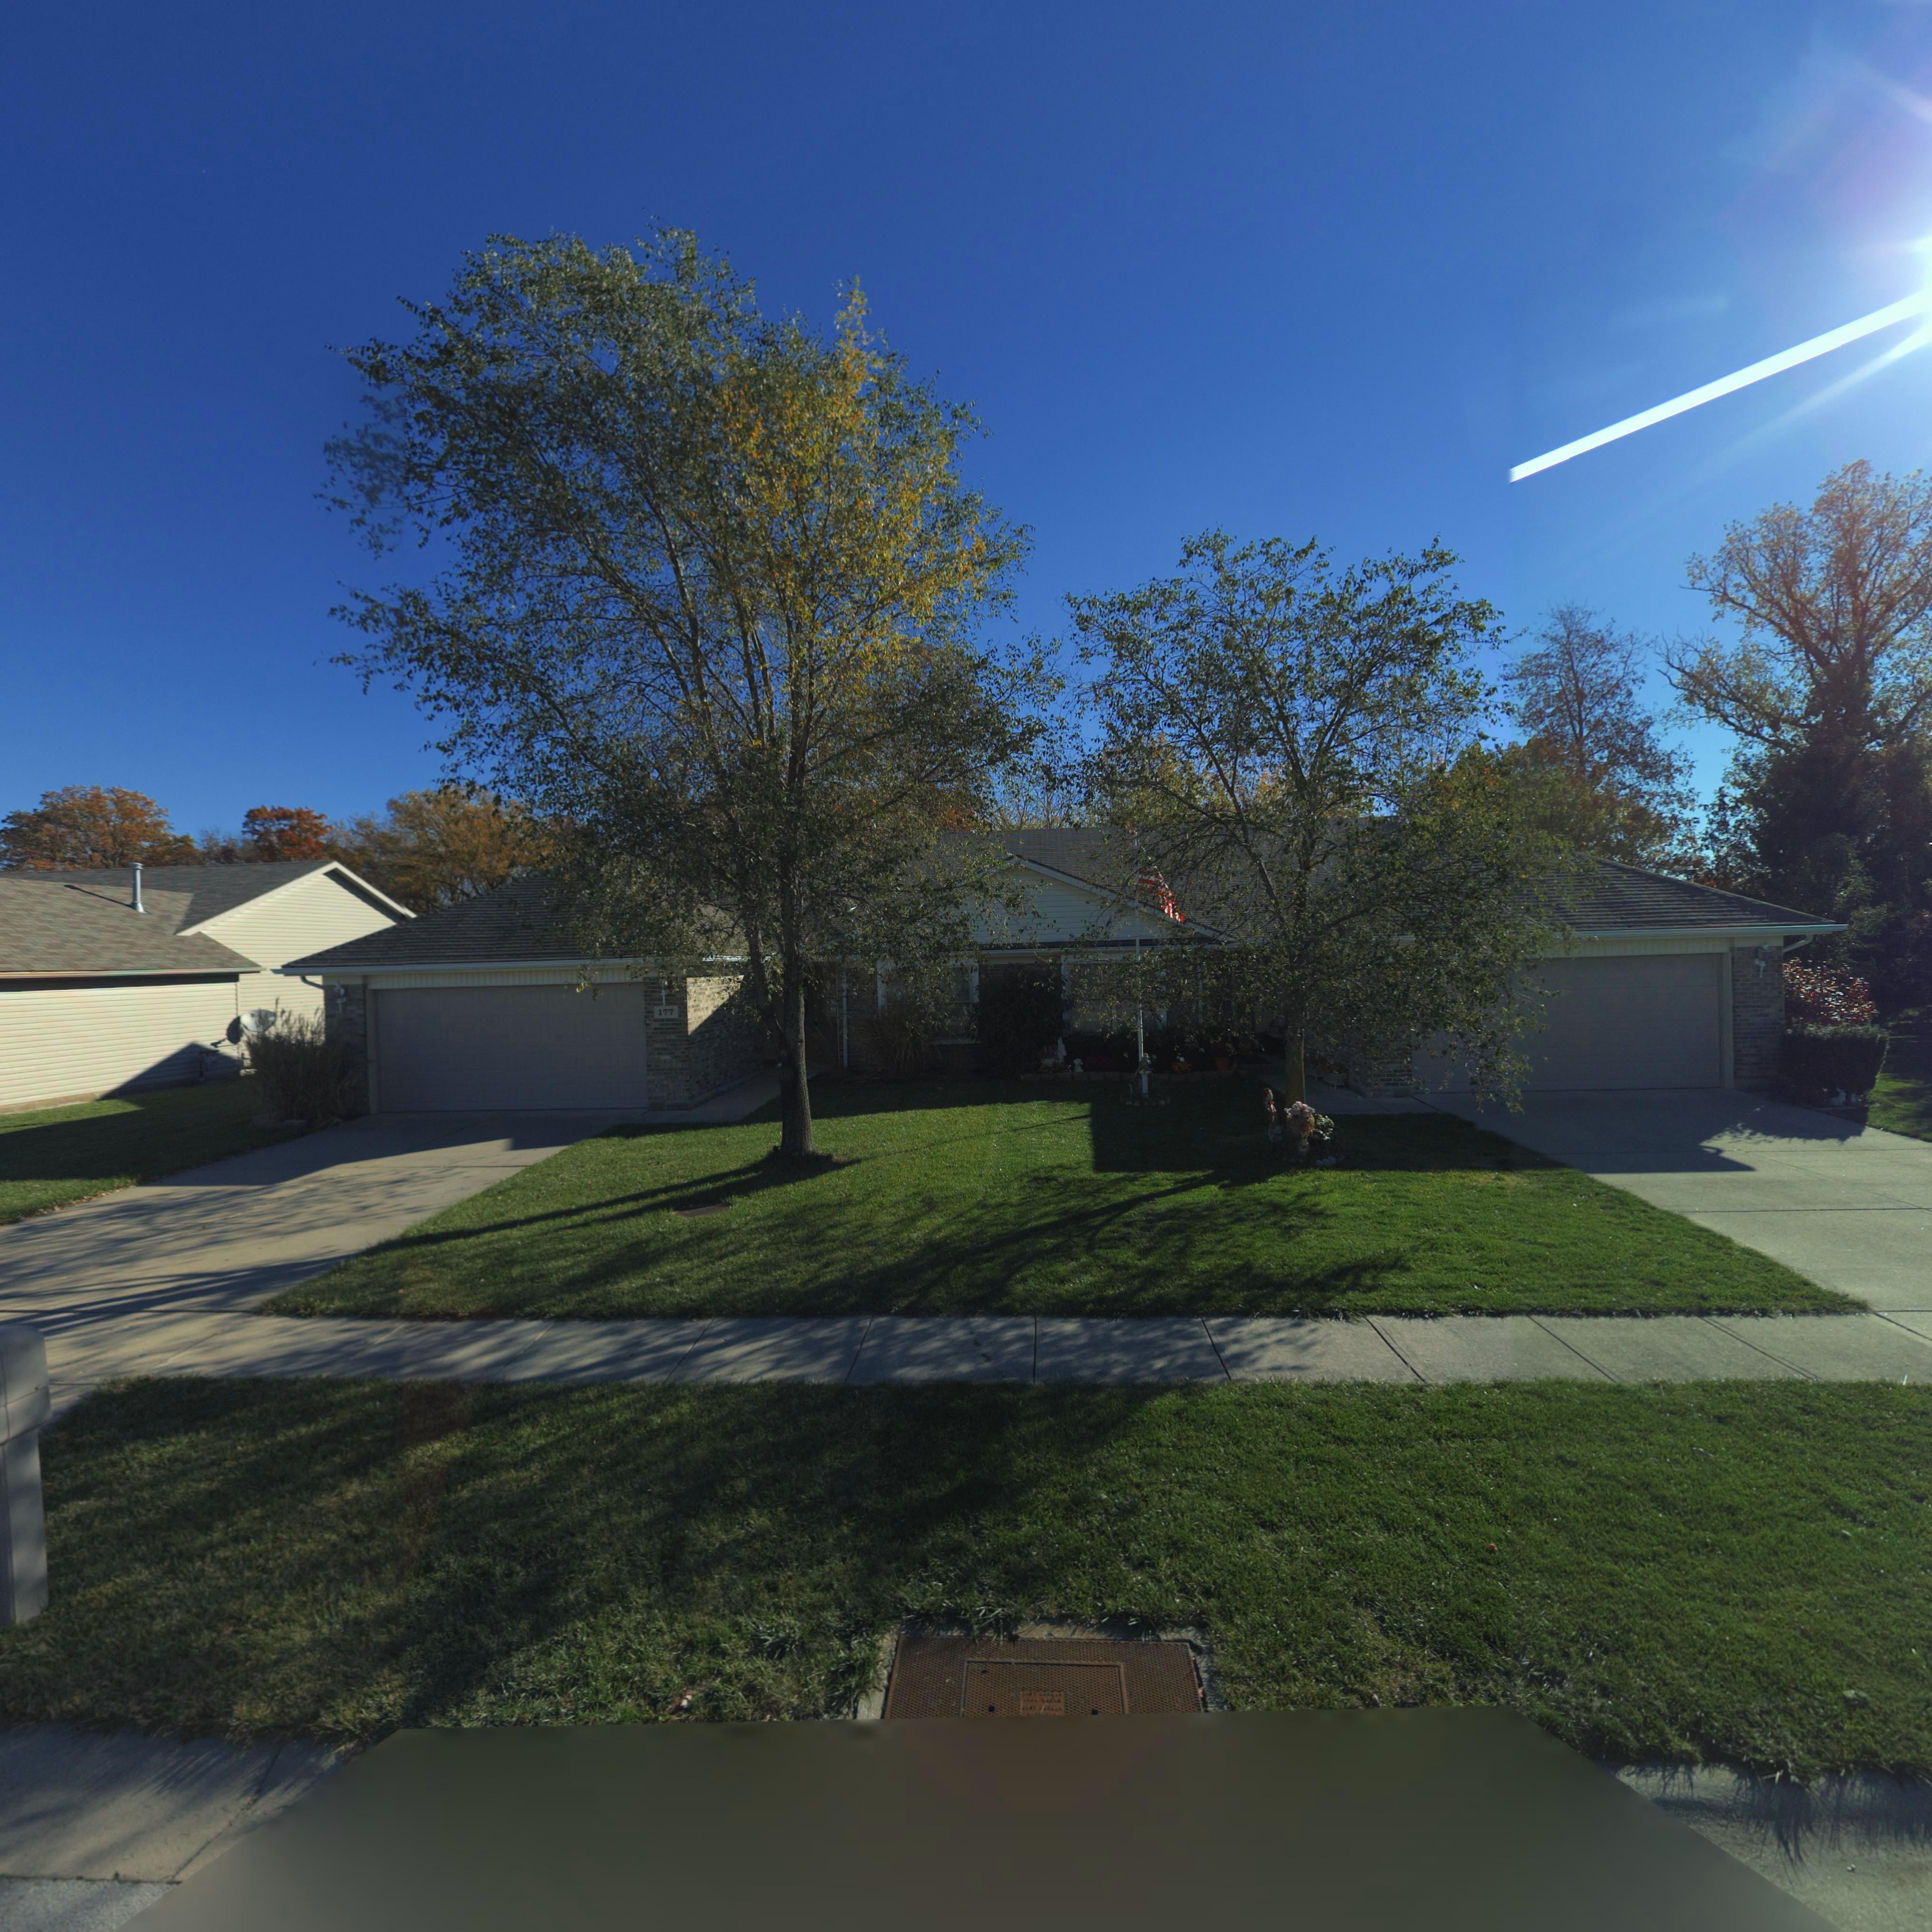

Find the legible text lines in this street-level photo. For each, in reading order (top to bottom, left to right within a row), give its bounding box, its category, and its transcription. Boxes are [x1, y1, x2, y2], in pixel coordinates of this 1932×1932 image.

[658, 1008, 675, 1016] StreetNumber: 177